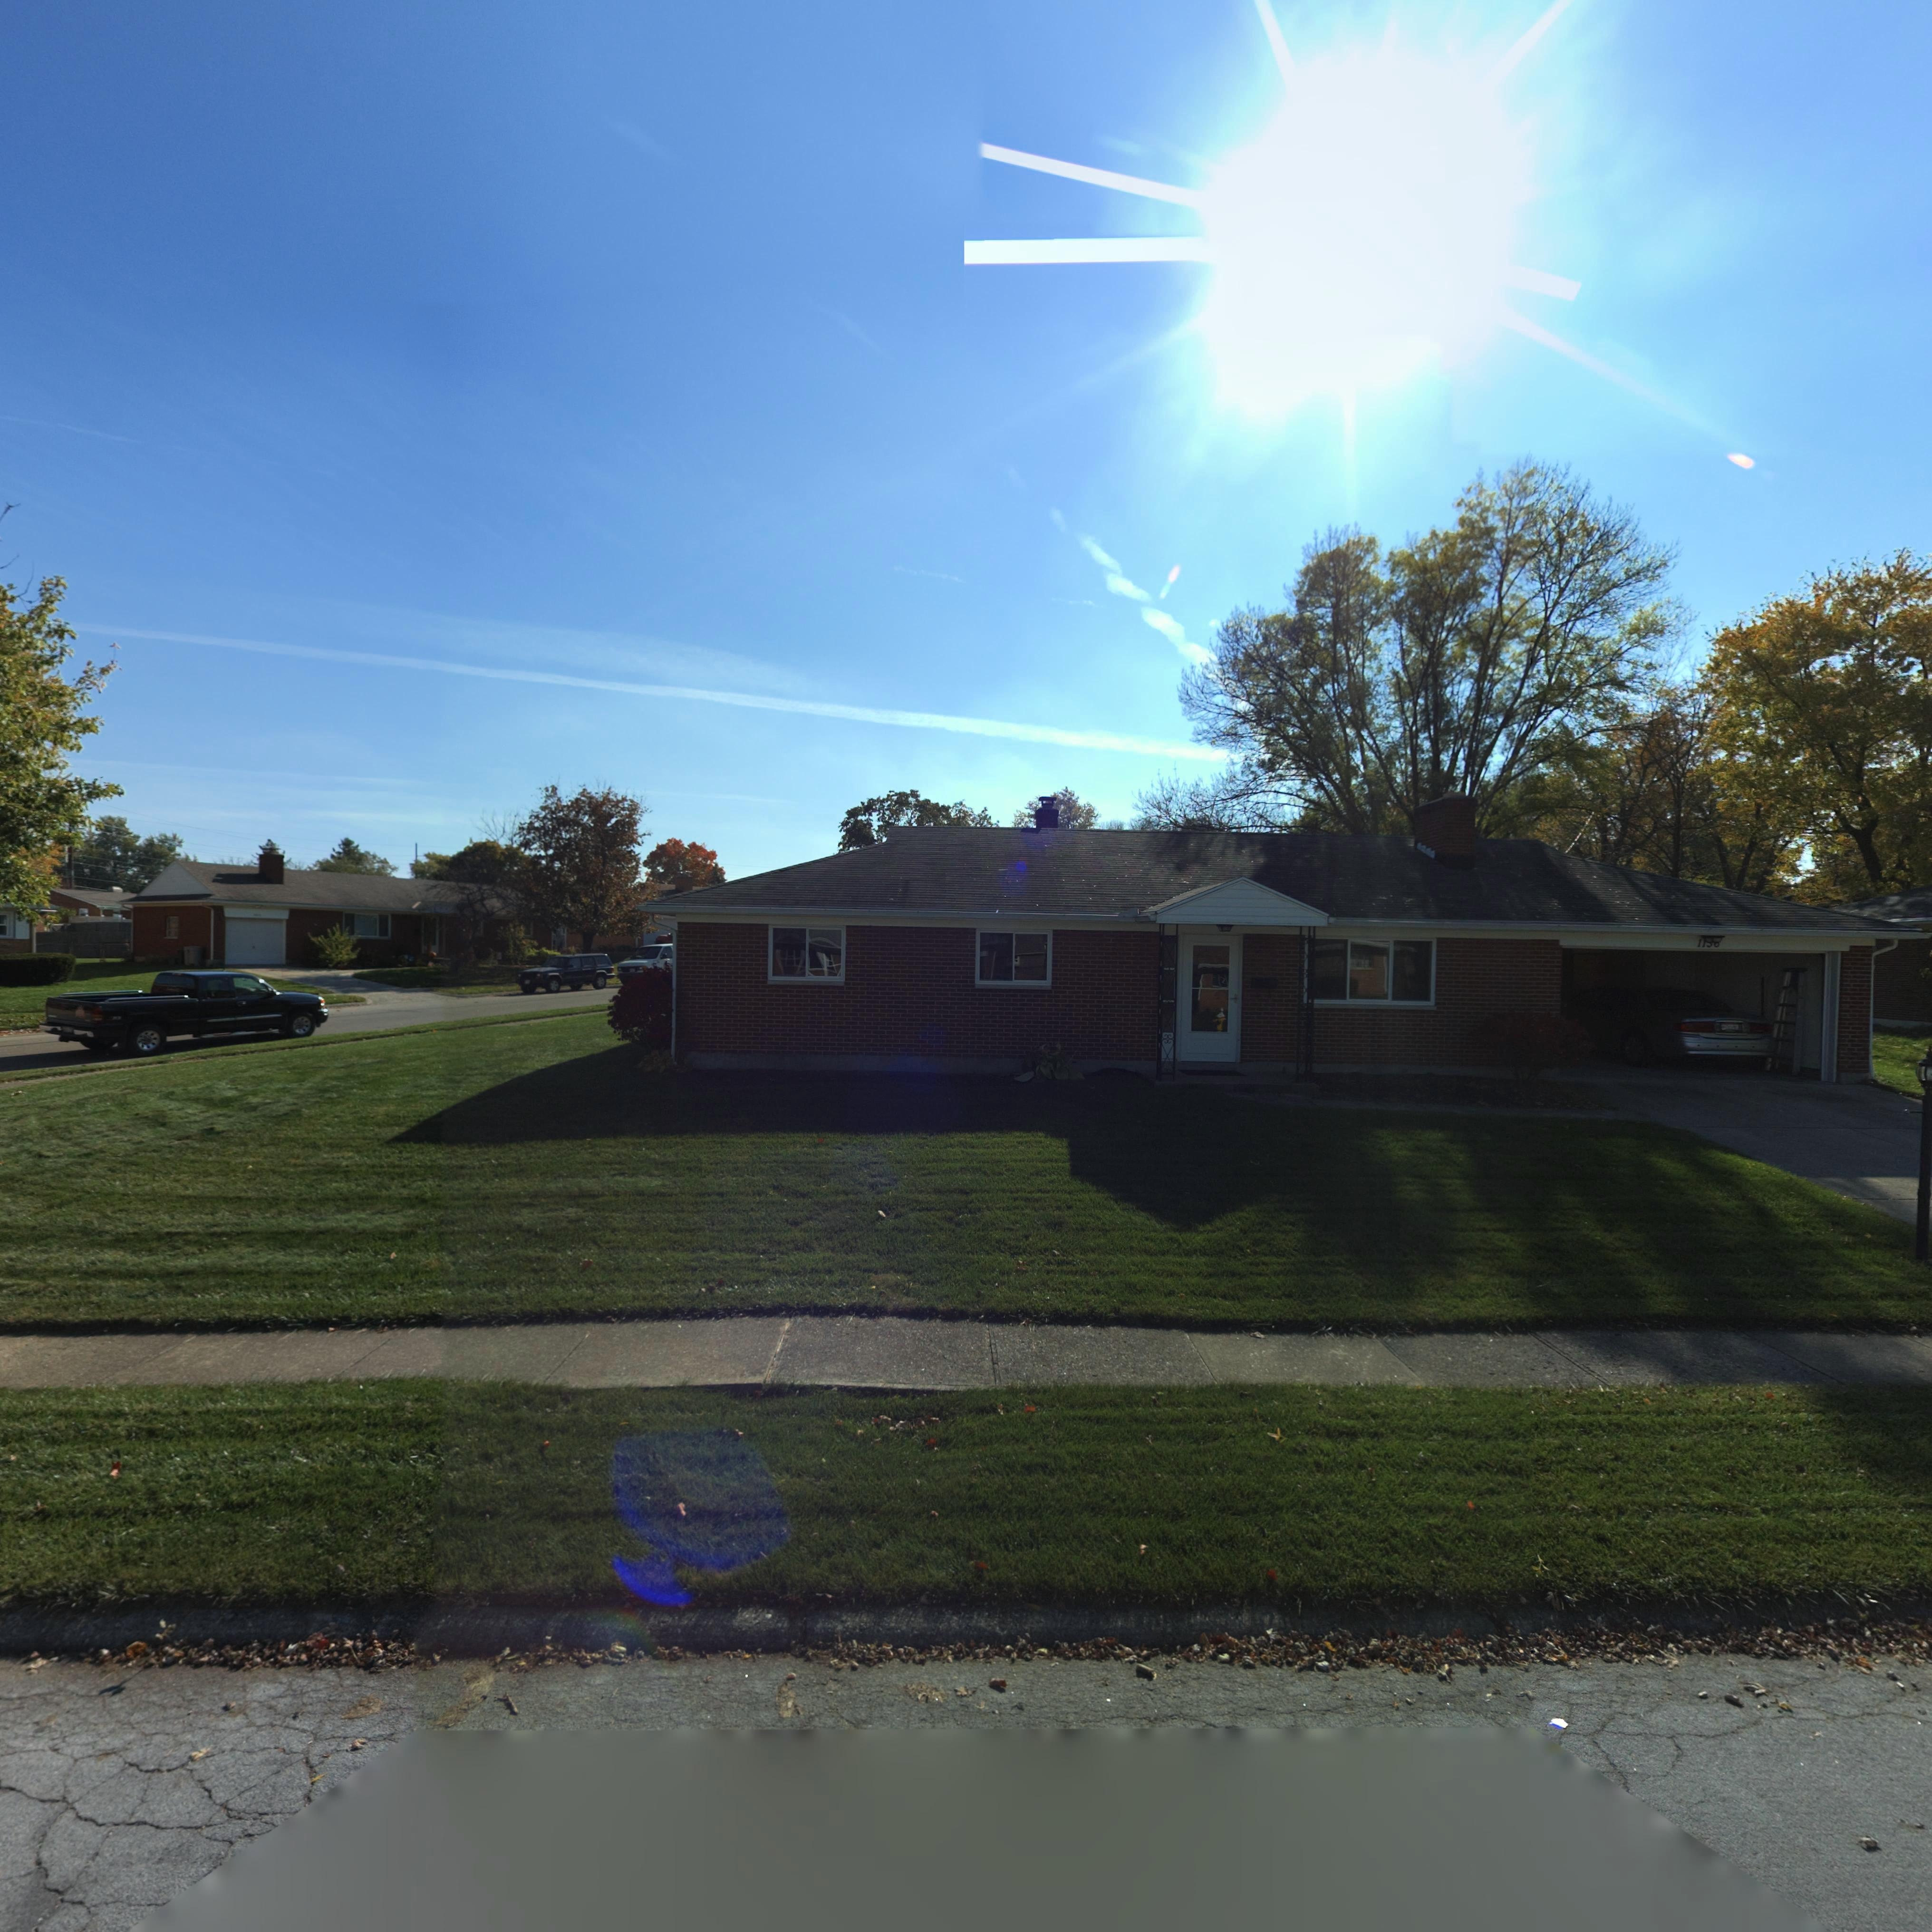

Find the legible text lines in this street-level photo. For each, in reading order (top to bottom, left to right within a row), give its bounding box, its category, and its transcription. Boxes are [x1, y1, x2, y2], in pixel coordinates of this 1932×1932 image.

[1695, 937, 1708, 948] StreetNumber: 11